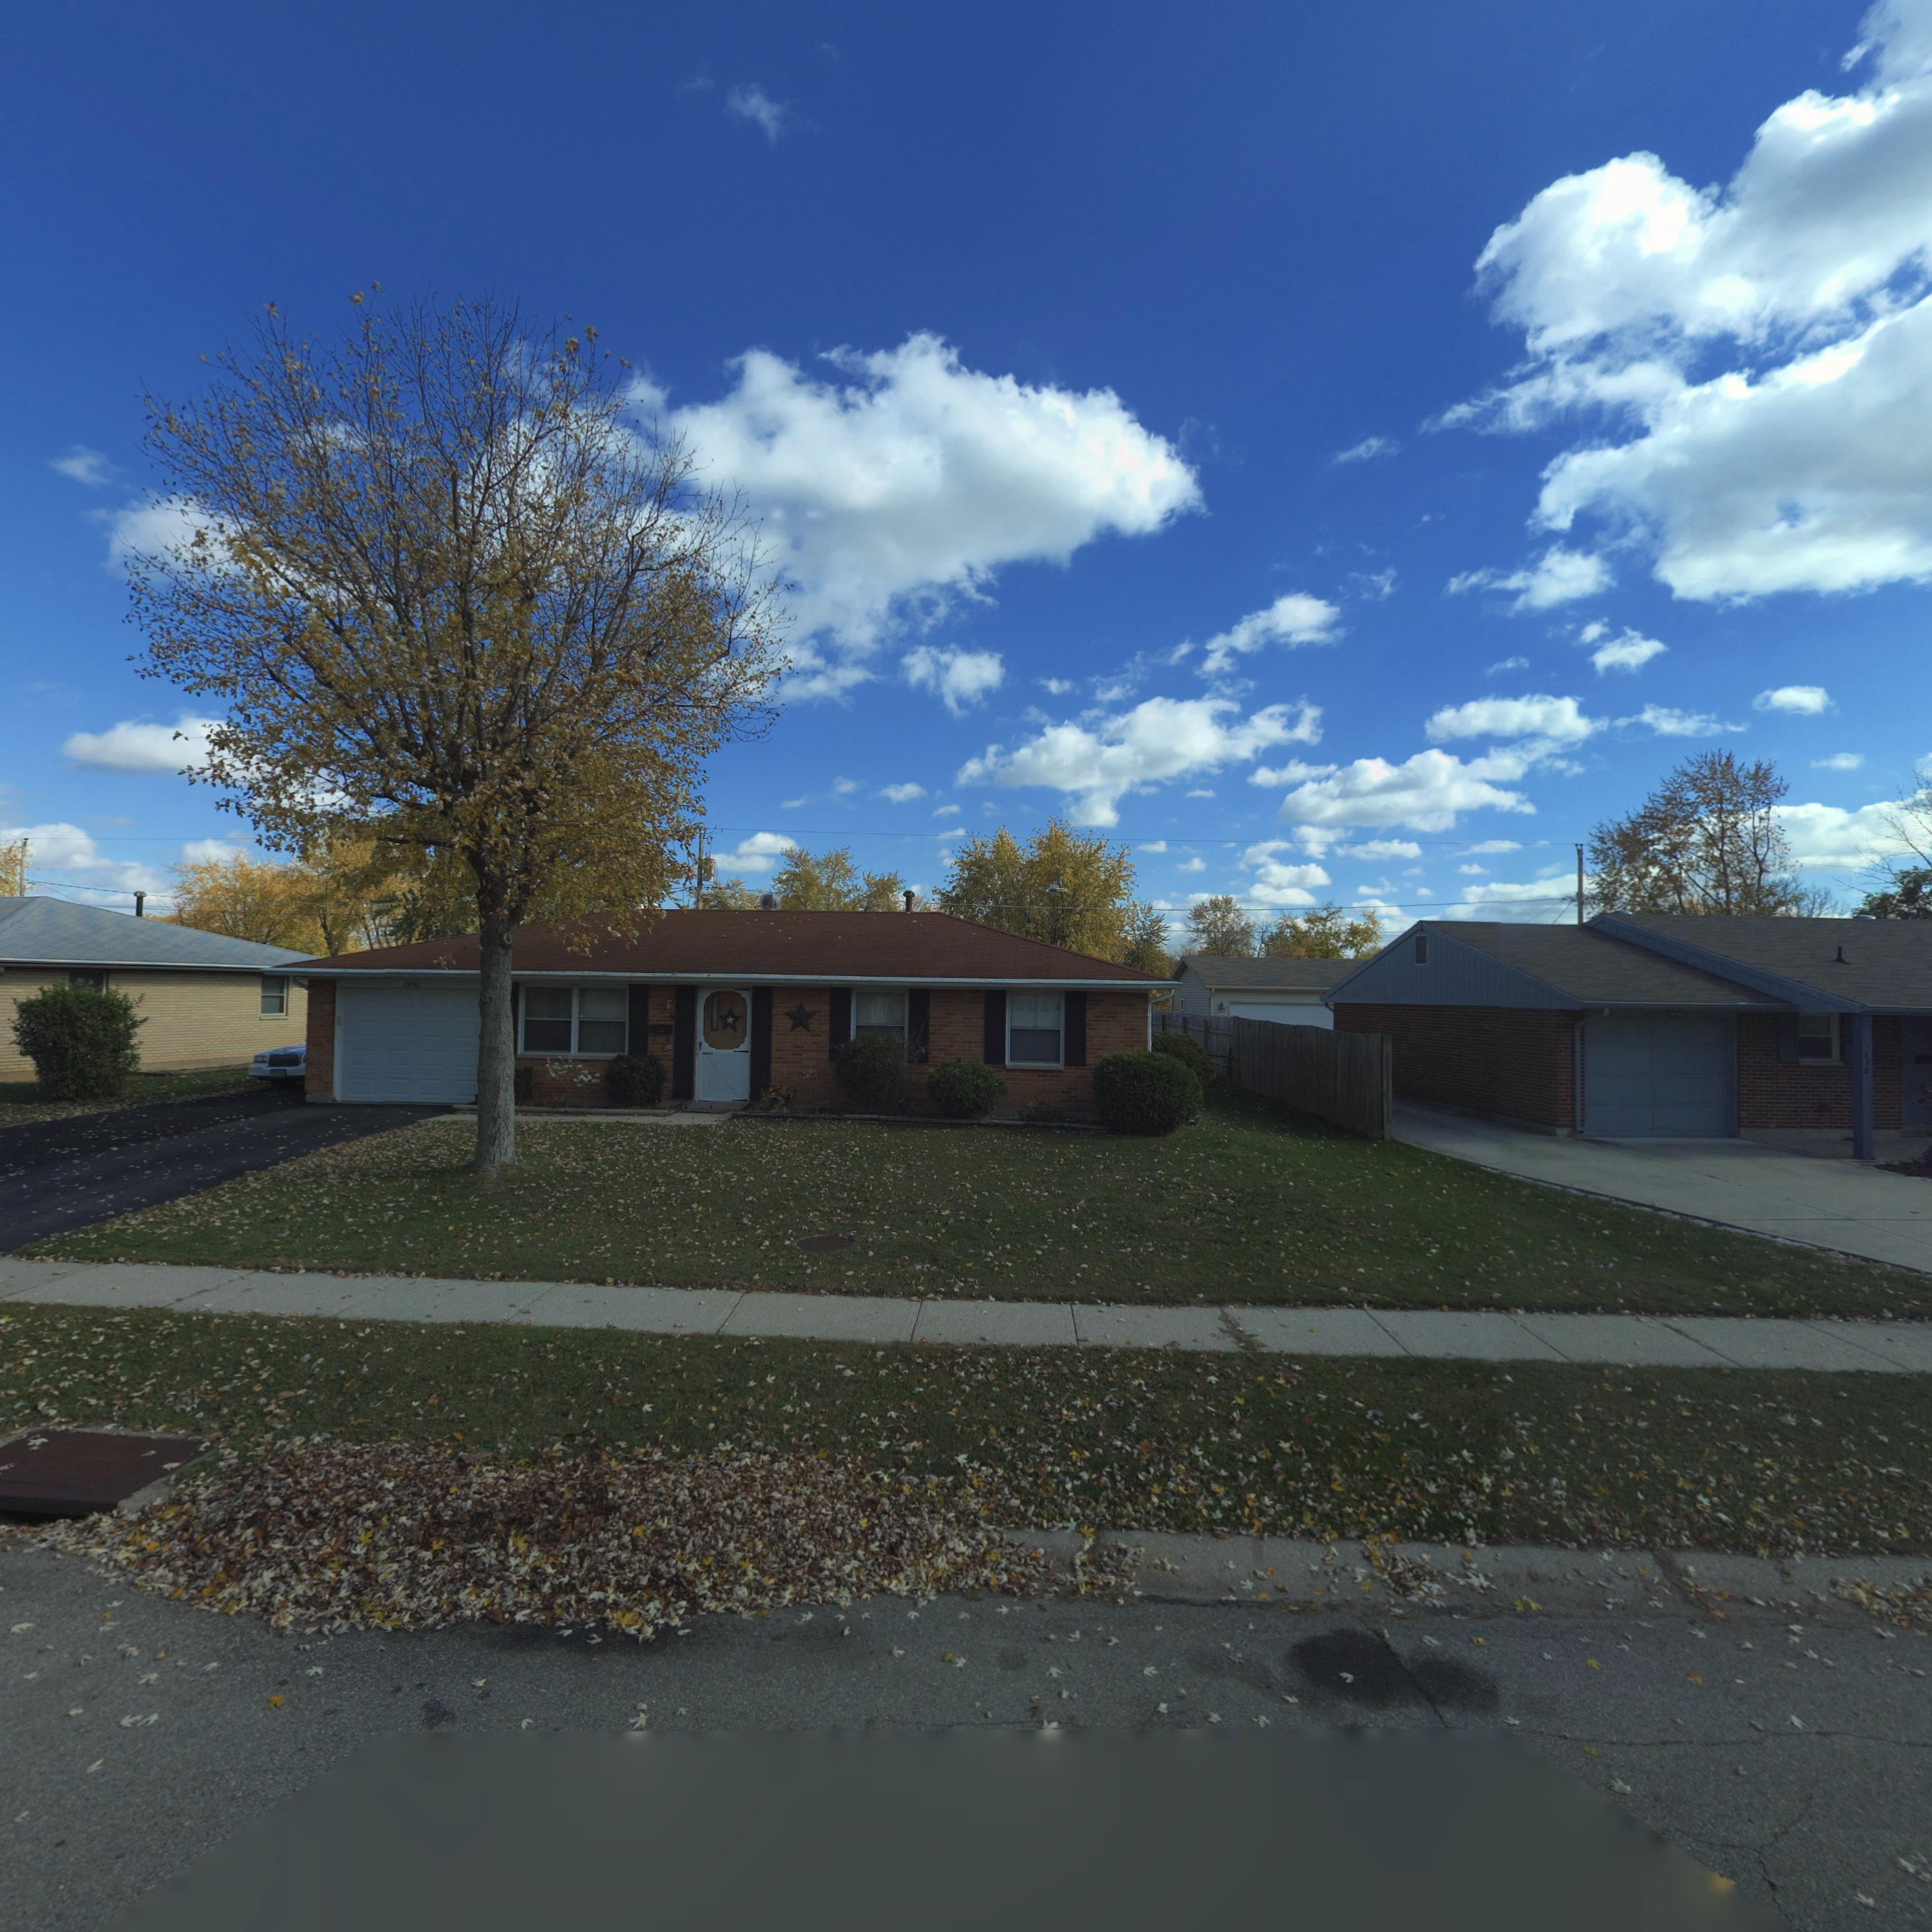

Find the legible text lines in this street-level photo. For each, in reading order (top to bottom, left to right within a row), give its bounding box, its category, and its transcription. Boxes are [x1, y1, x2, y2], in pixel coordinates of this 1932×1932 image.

[403, 981, 421, 988] StreetNumber: 7690
[1863, 1044, 1871, 1075] StreetNumber: 7680